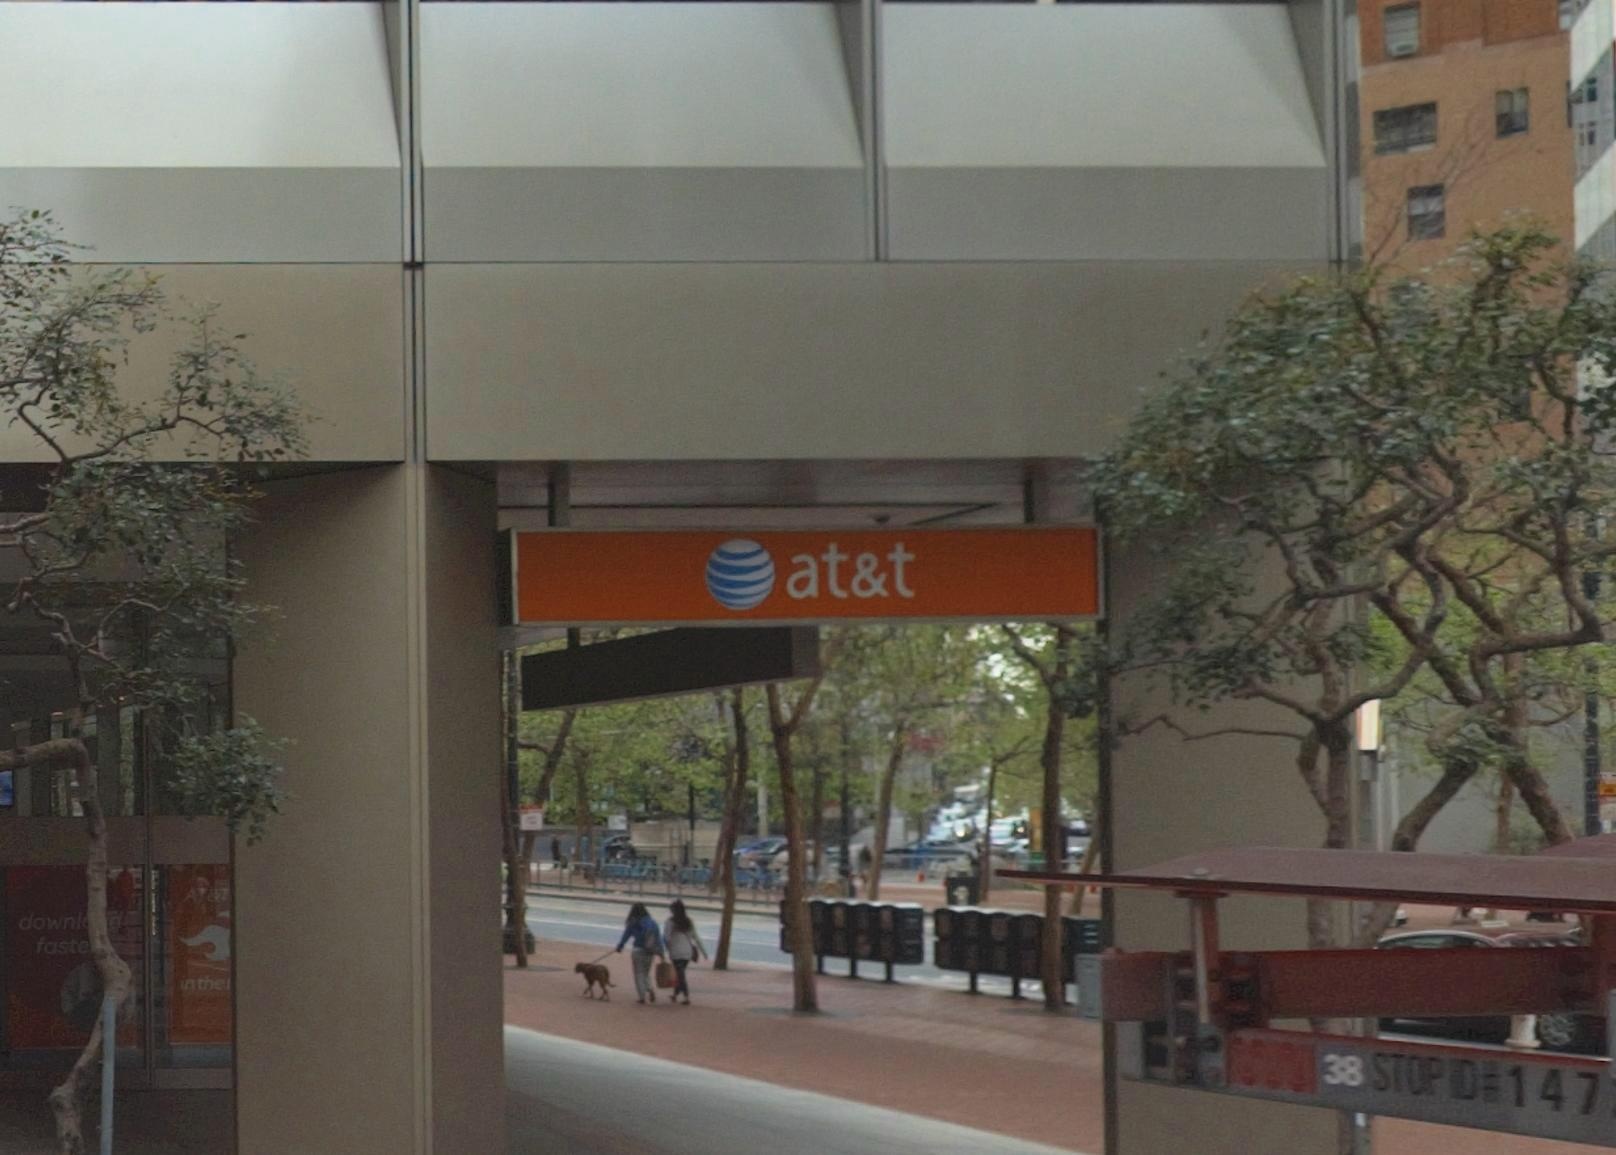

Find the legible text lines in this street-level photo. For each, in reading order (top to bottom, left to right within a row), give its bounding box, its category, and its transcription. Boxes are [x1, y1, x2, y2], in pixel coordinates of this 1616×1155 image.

[781, 538, 922, 604] BusinessName: at&t
[178, 883, 234, 906] BusinessName: AT&T
[14, 908, 89, 933] None: downl
[30, 933, 92, 958] None: faste
[178, 972, 227, 994] None: in the
[1318, 1048, 1609, 1122] None: 38 STOP ID# 147